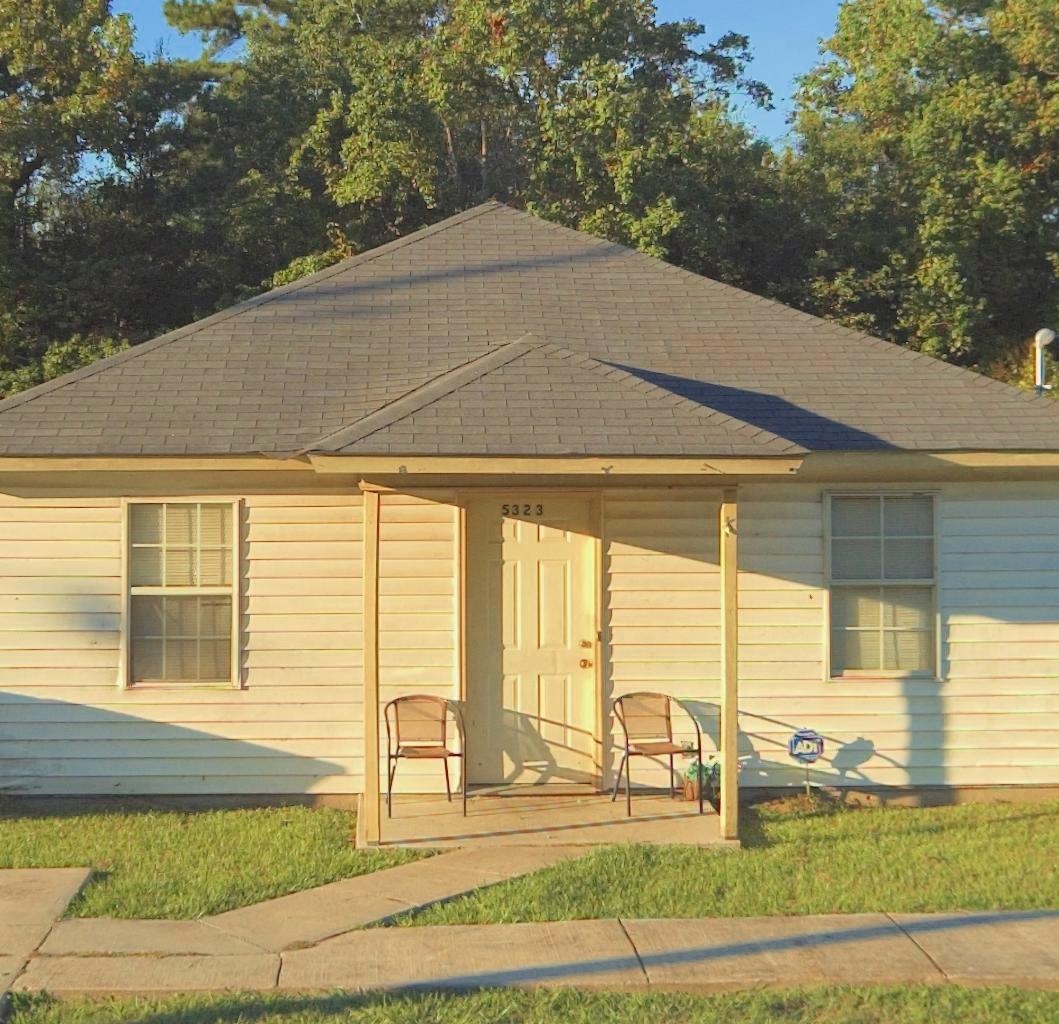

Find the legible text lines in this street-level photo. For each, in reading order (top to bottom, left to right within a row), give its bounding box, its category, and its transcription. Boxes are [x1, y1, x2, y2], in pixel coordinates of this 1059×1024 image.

[500, 504, 544, 516] StreetNumber: 5323
[793, 739, 821, 755] None: ADT